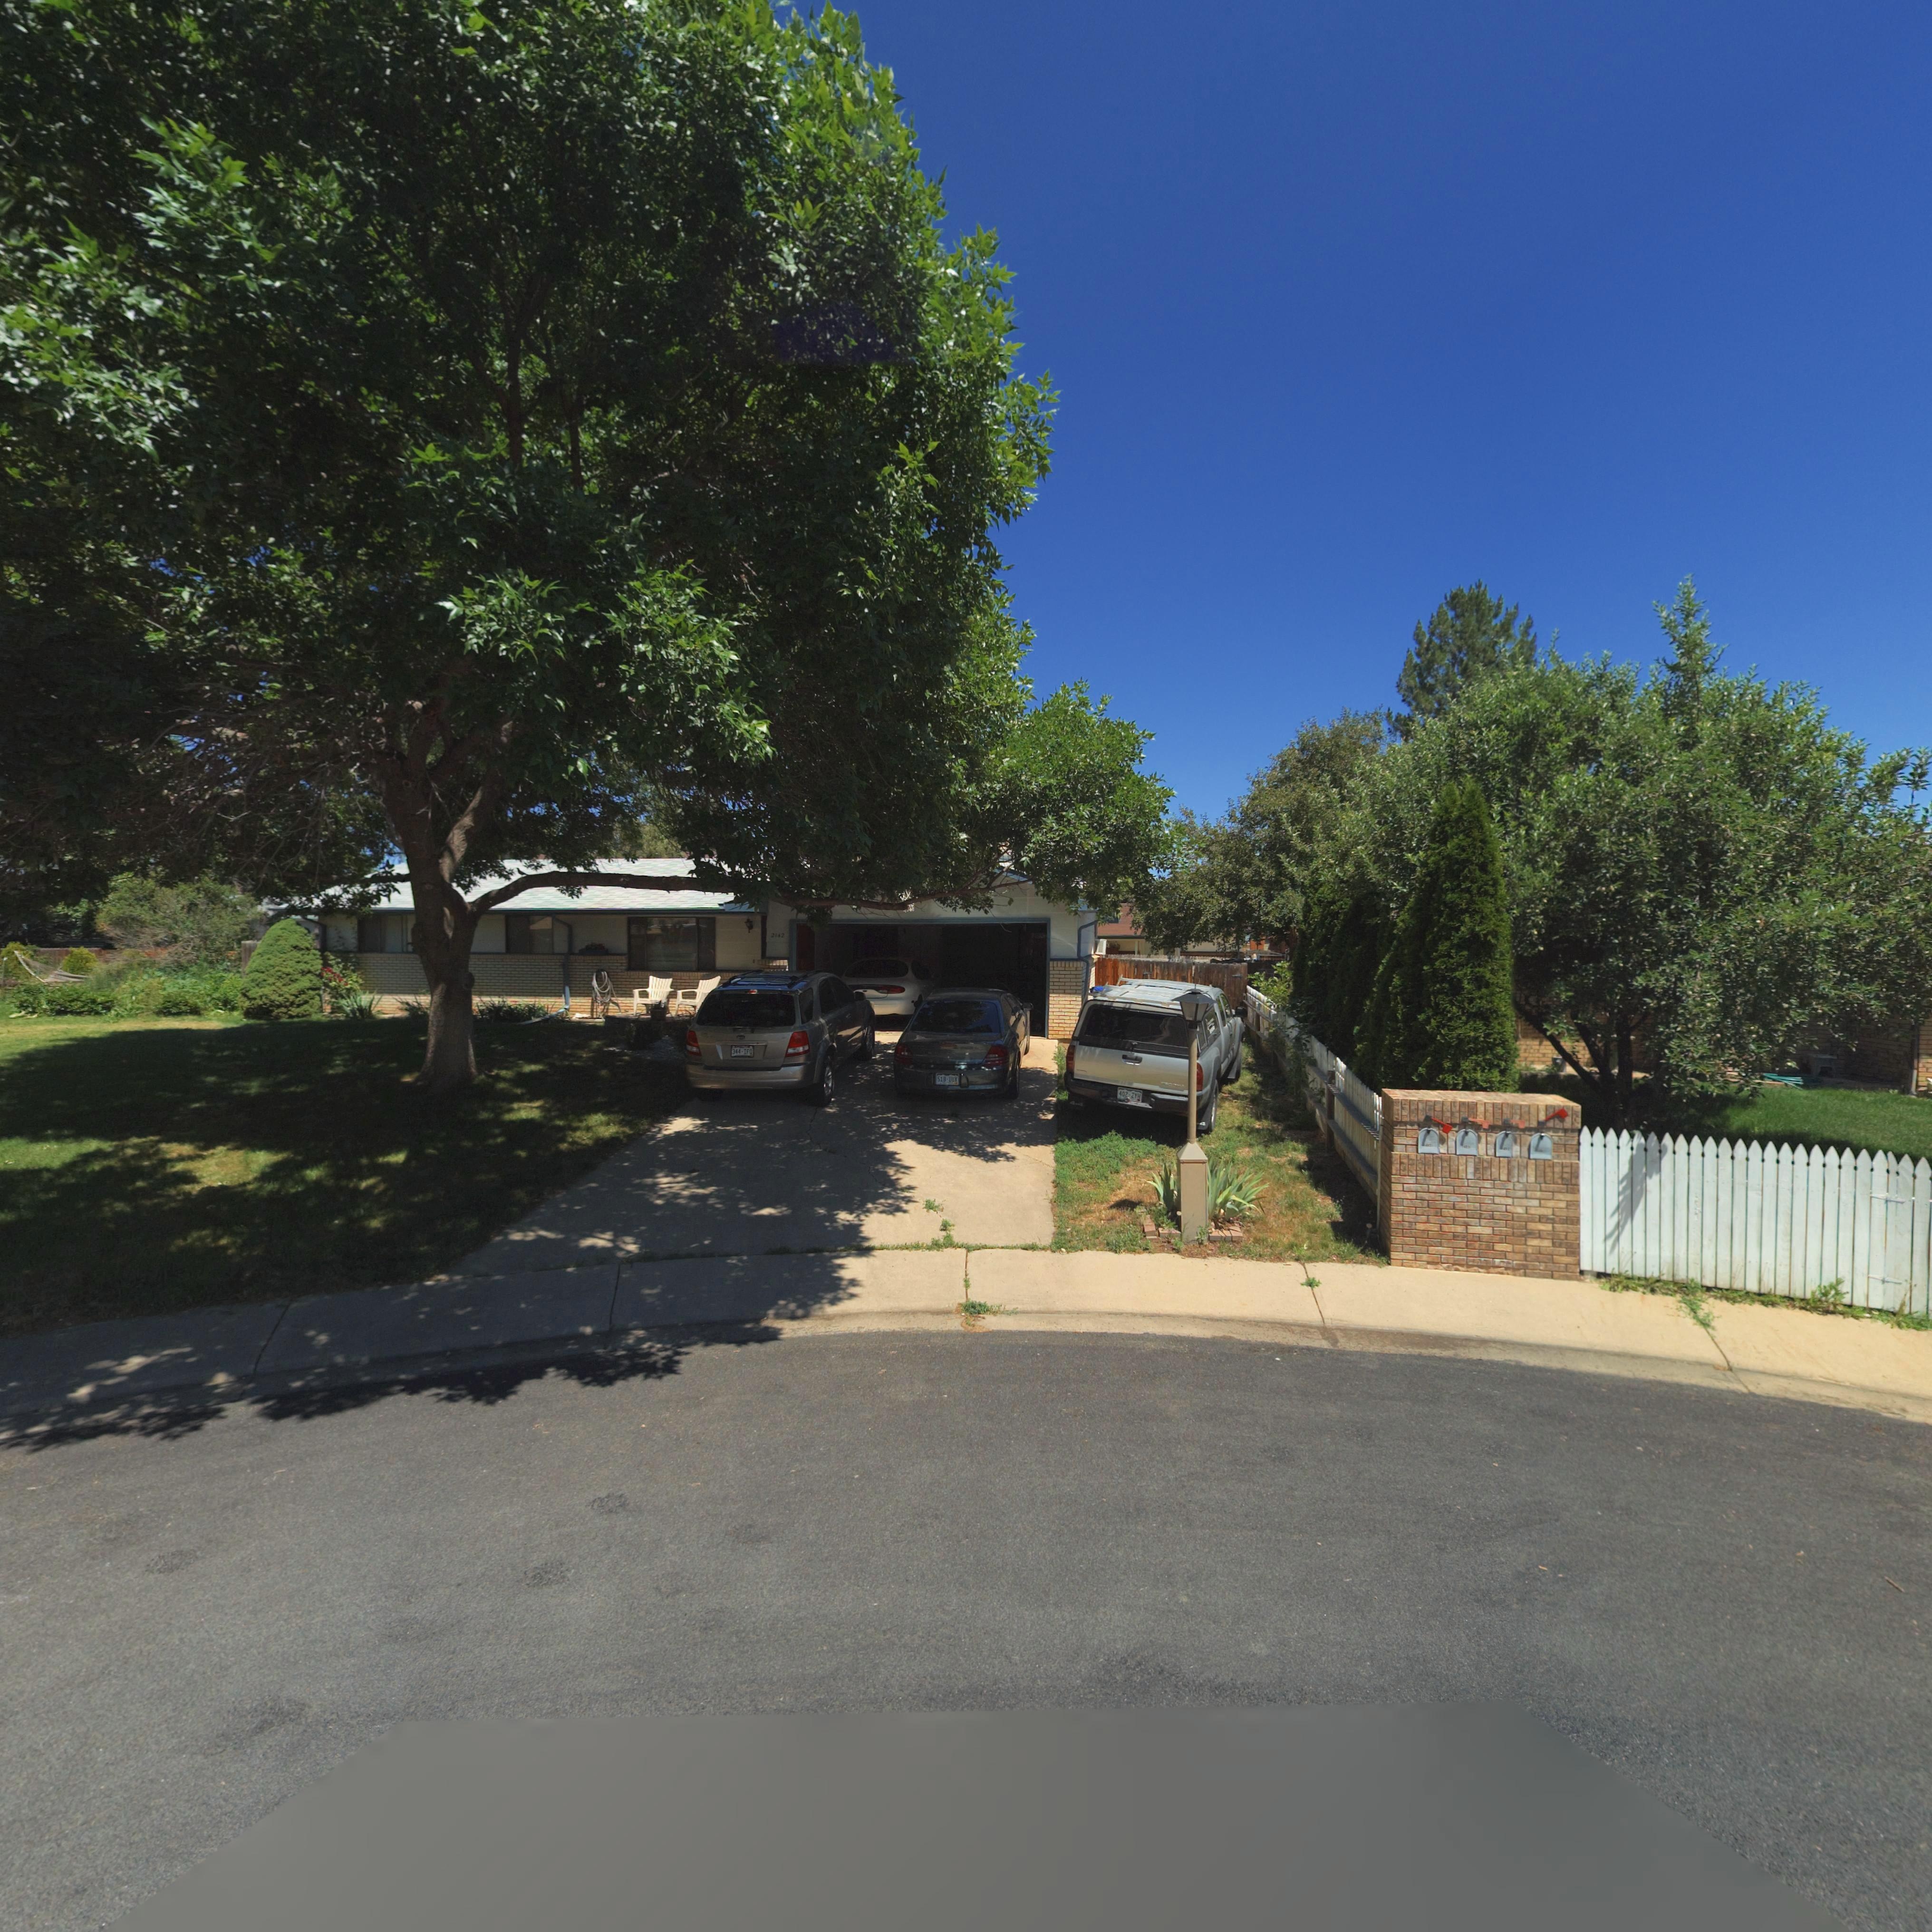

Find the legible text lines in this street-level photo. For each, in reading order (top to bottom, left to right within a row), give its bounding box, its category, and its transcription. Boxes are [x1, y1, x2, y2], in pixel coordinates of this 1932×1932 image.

[770, 933, 784, 938] StreetNumber: 2142